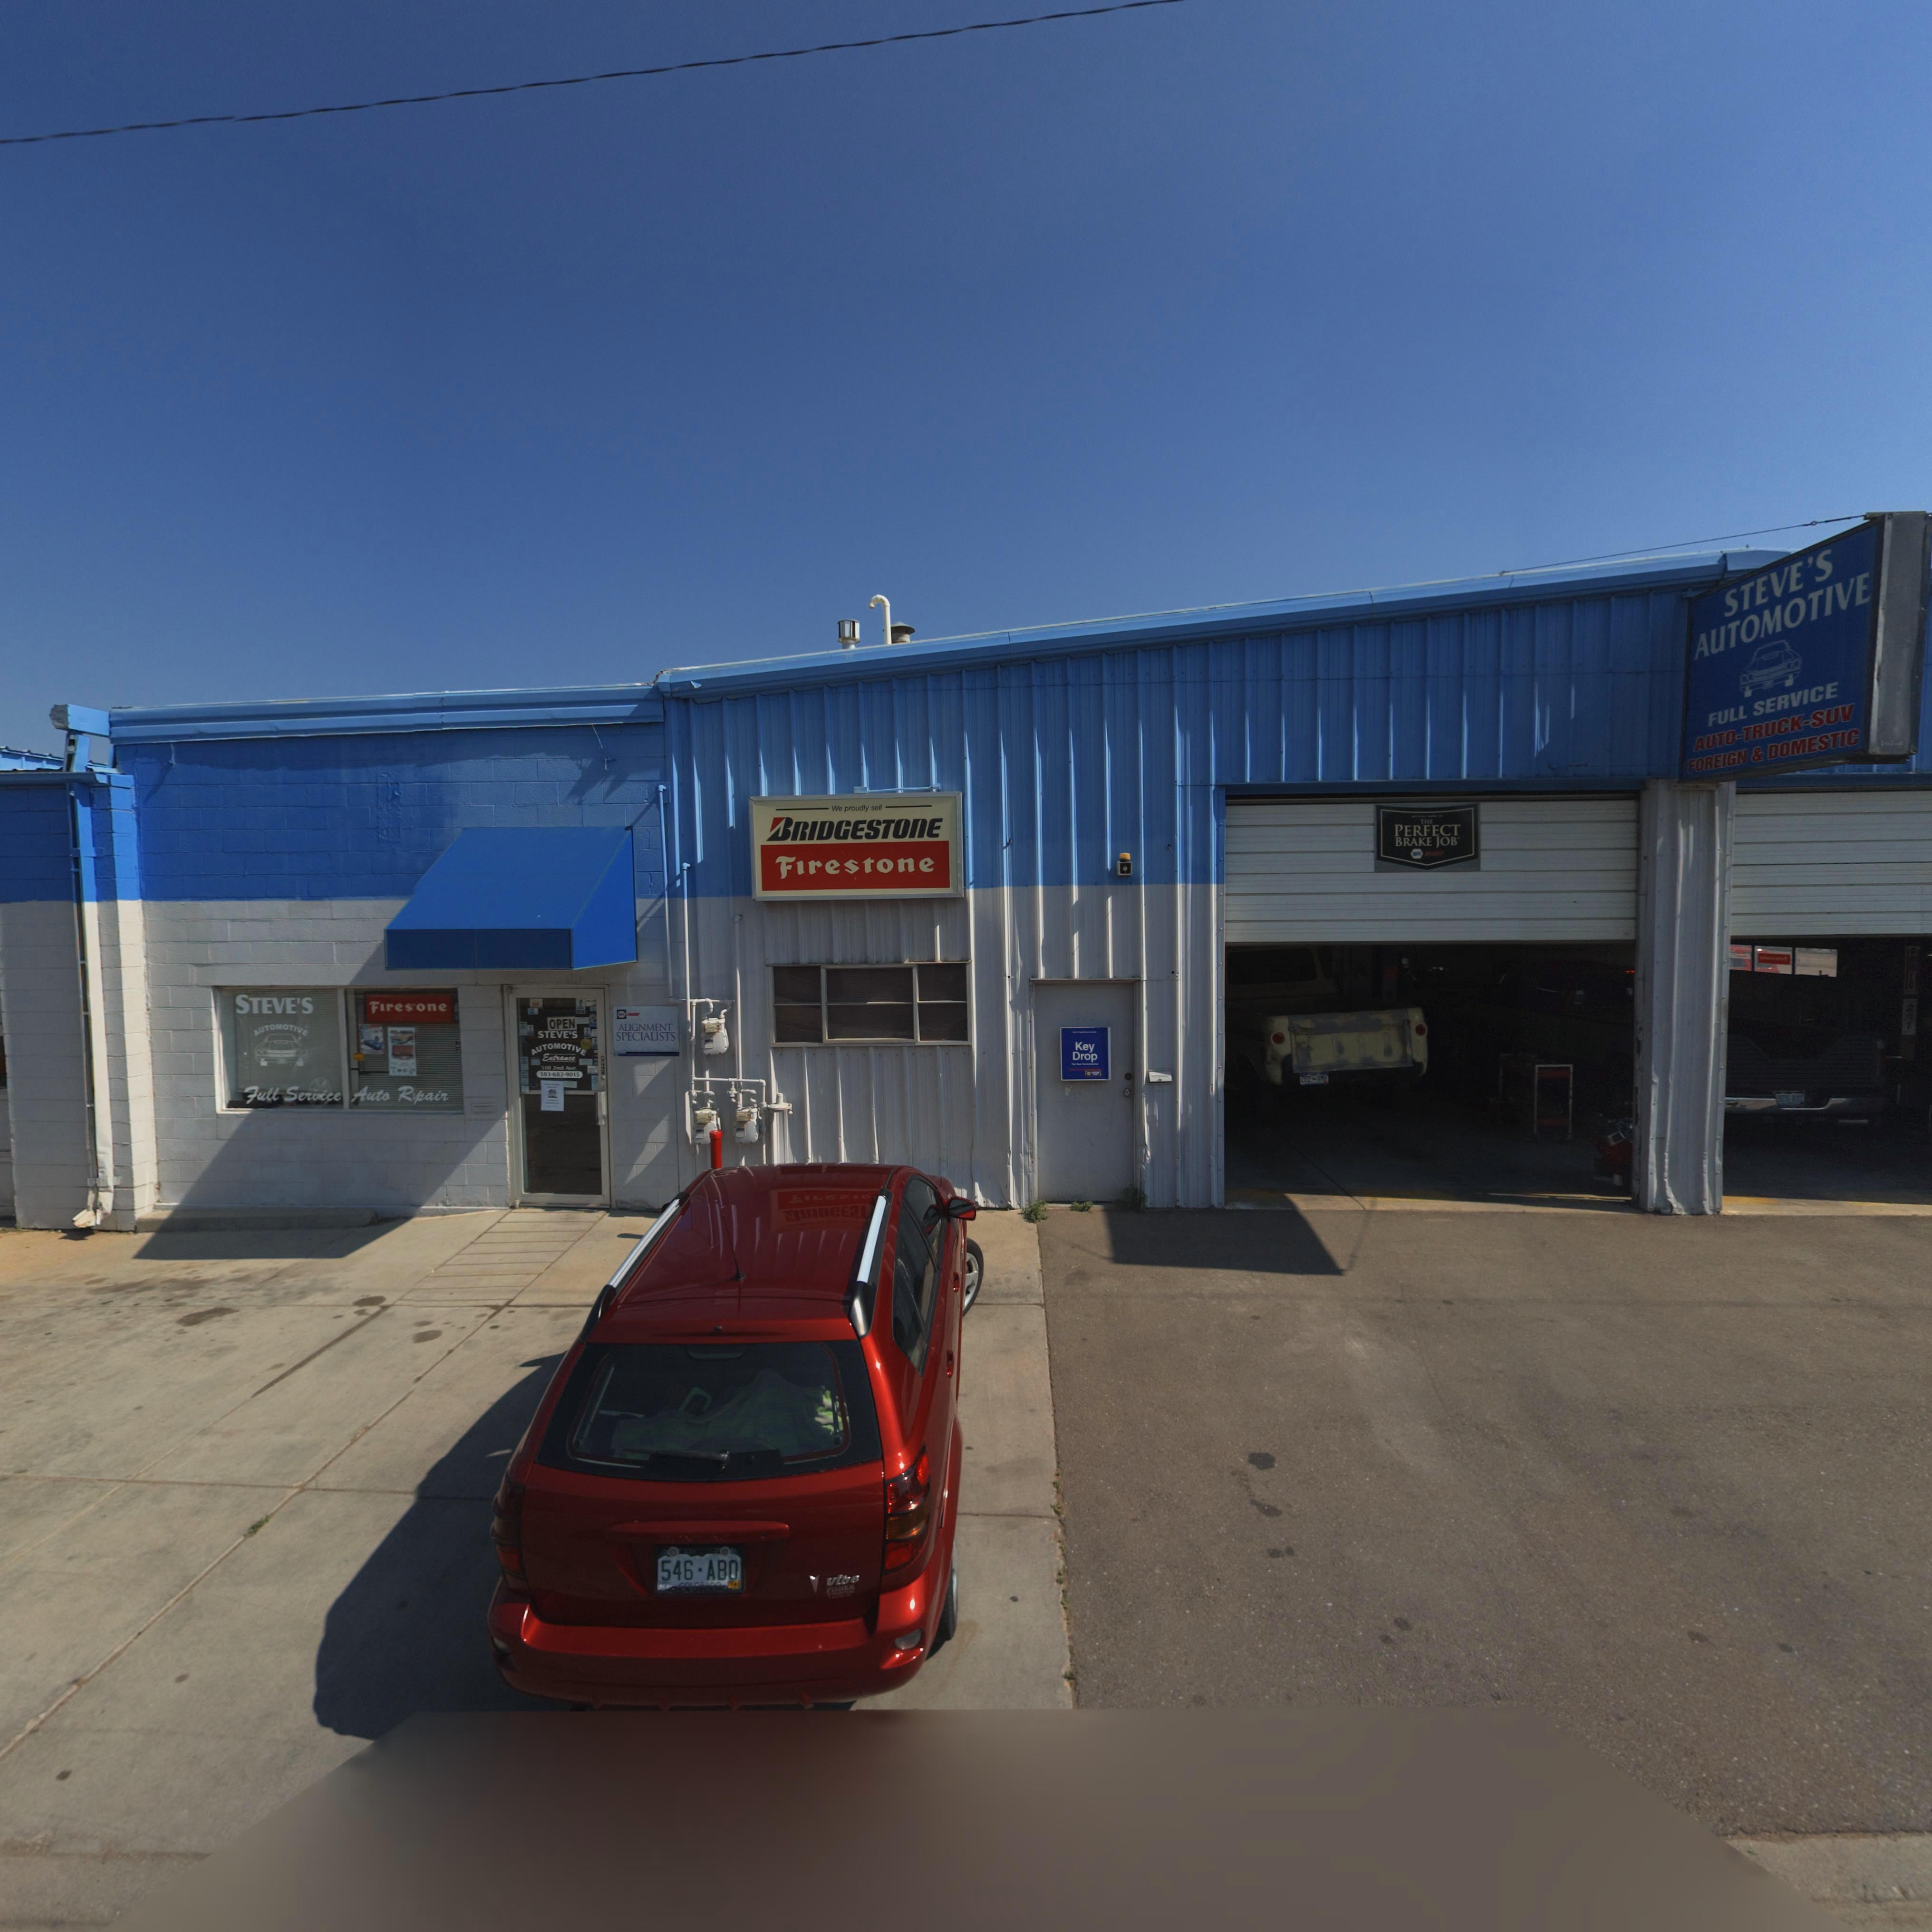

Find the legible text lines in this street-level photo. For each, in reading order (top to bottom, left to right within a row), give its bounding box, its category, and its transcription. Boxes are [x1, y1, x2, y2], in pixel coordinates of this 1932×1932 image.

[1724, 547, 1834, 618] BusinessName: STEVE'S
[1692, 569, 1873, 662] BusinessName: AUTOMOTIVE
[234, 993, 315, 1014] BusinessName: STEVE'S
[253, 1023, 309, 1037] BusinessName: AUTOMOTIVE
[538, 1030, 578, 1039] BusinessName: STEVE'S
[531, 1042, 588, 1057] BusinessName: AUTOMOTIVE
[541, 1065, 551, 1070] StreetNumber: 510
[552, 1065, 578, 1070] StreetName: 2nd Ave.